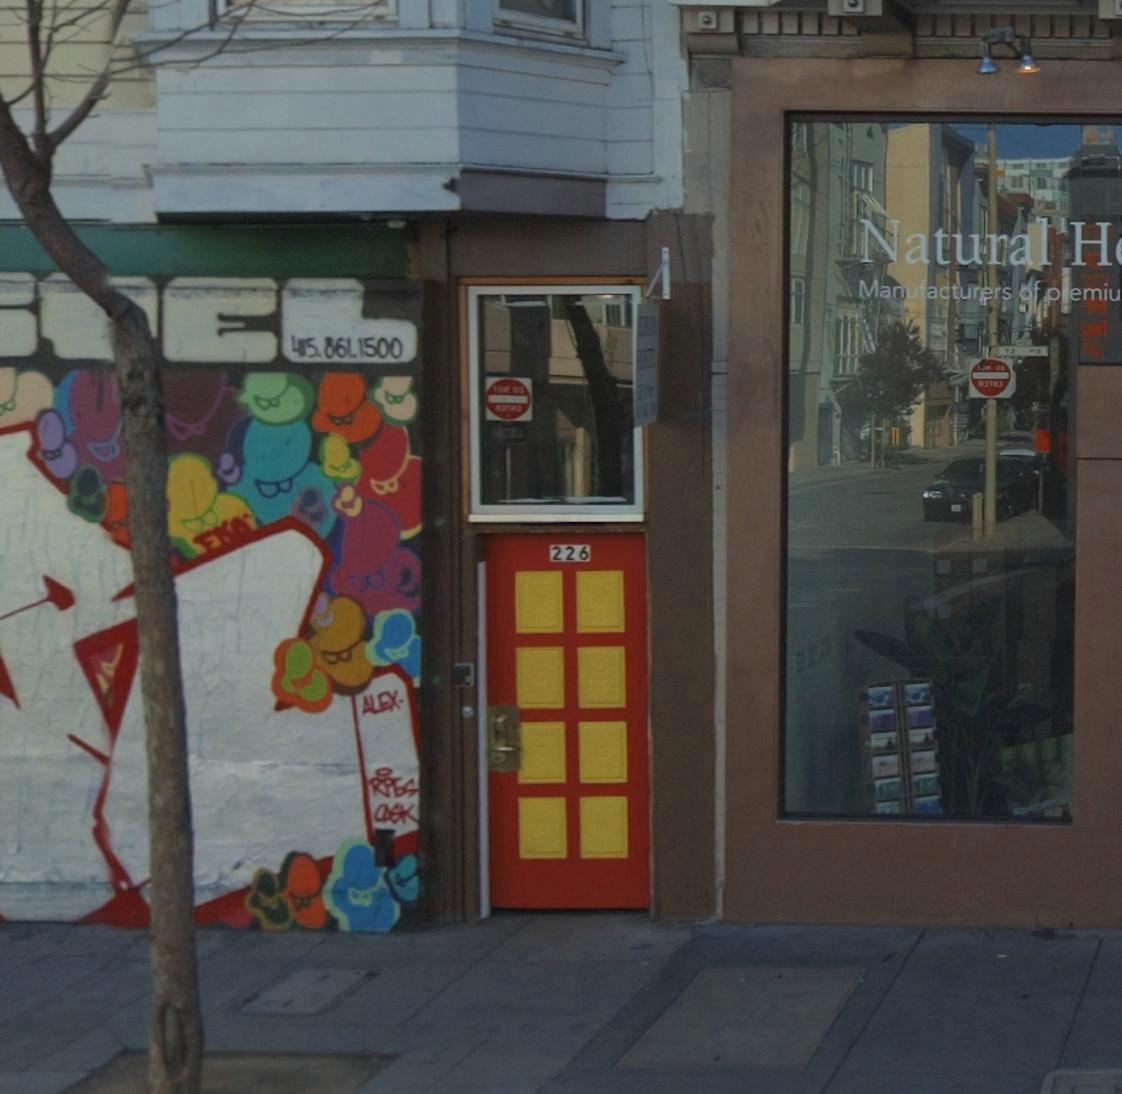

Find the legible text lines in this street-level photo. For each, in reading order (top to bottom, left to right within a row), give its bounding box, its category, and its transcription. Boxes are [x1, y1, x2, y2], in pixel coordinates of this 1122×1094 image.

[856, 215, 1113, 268] BusinessName: Natural H
[856, 277, 1122, 307] None: Manufacturers of premiu
[289, 333, 406, 360] None: 415.861.1500
[551, 545, 590, 561] StreetNumber: 226
[359, 687, 405, 717] None: ALEX